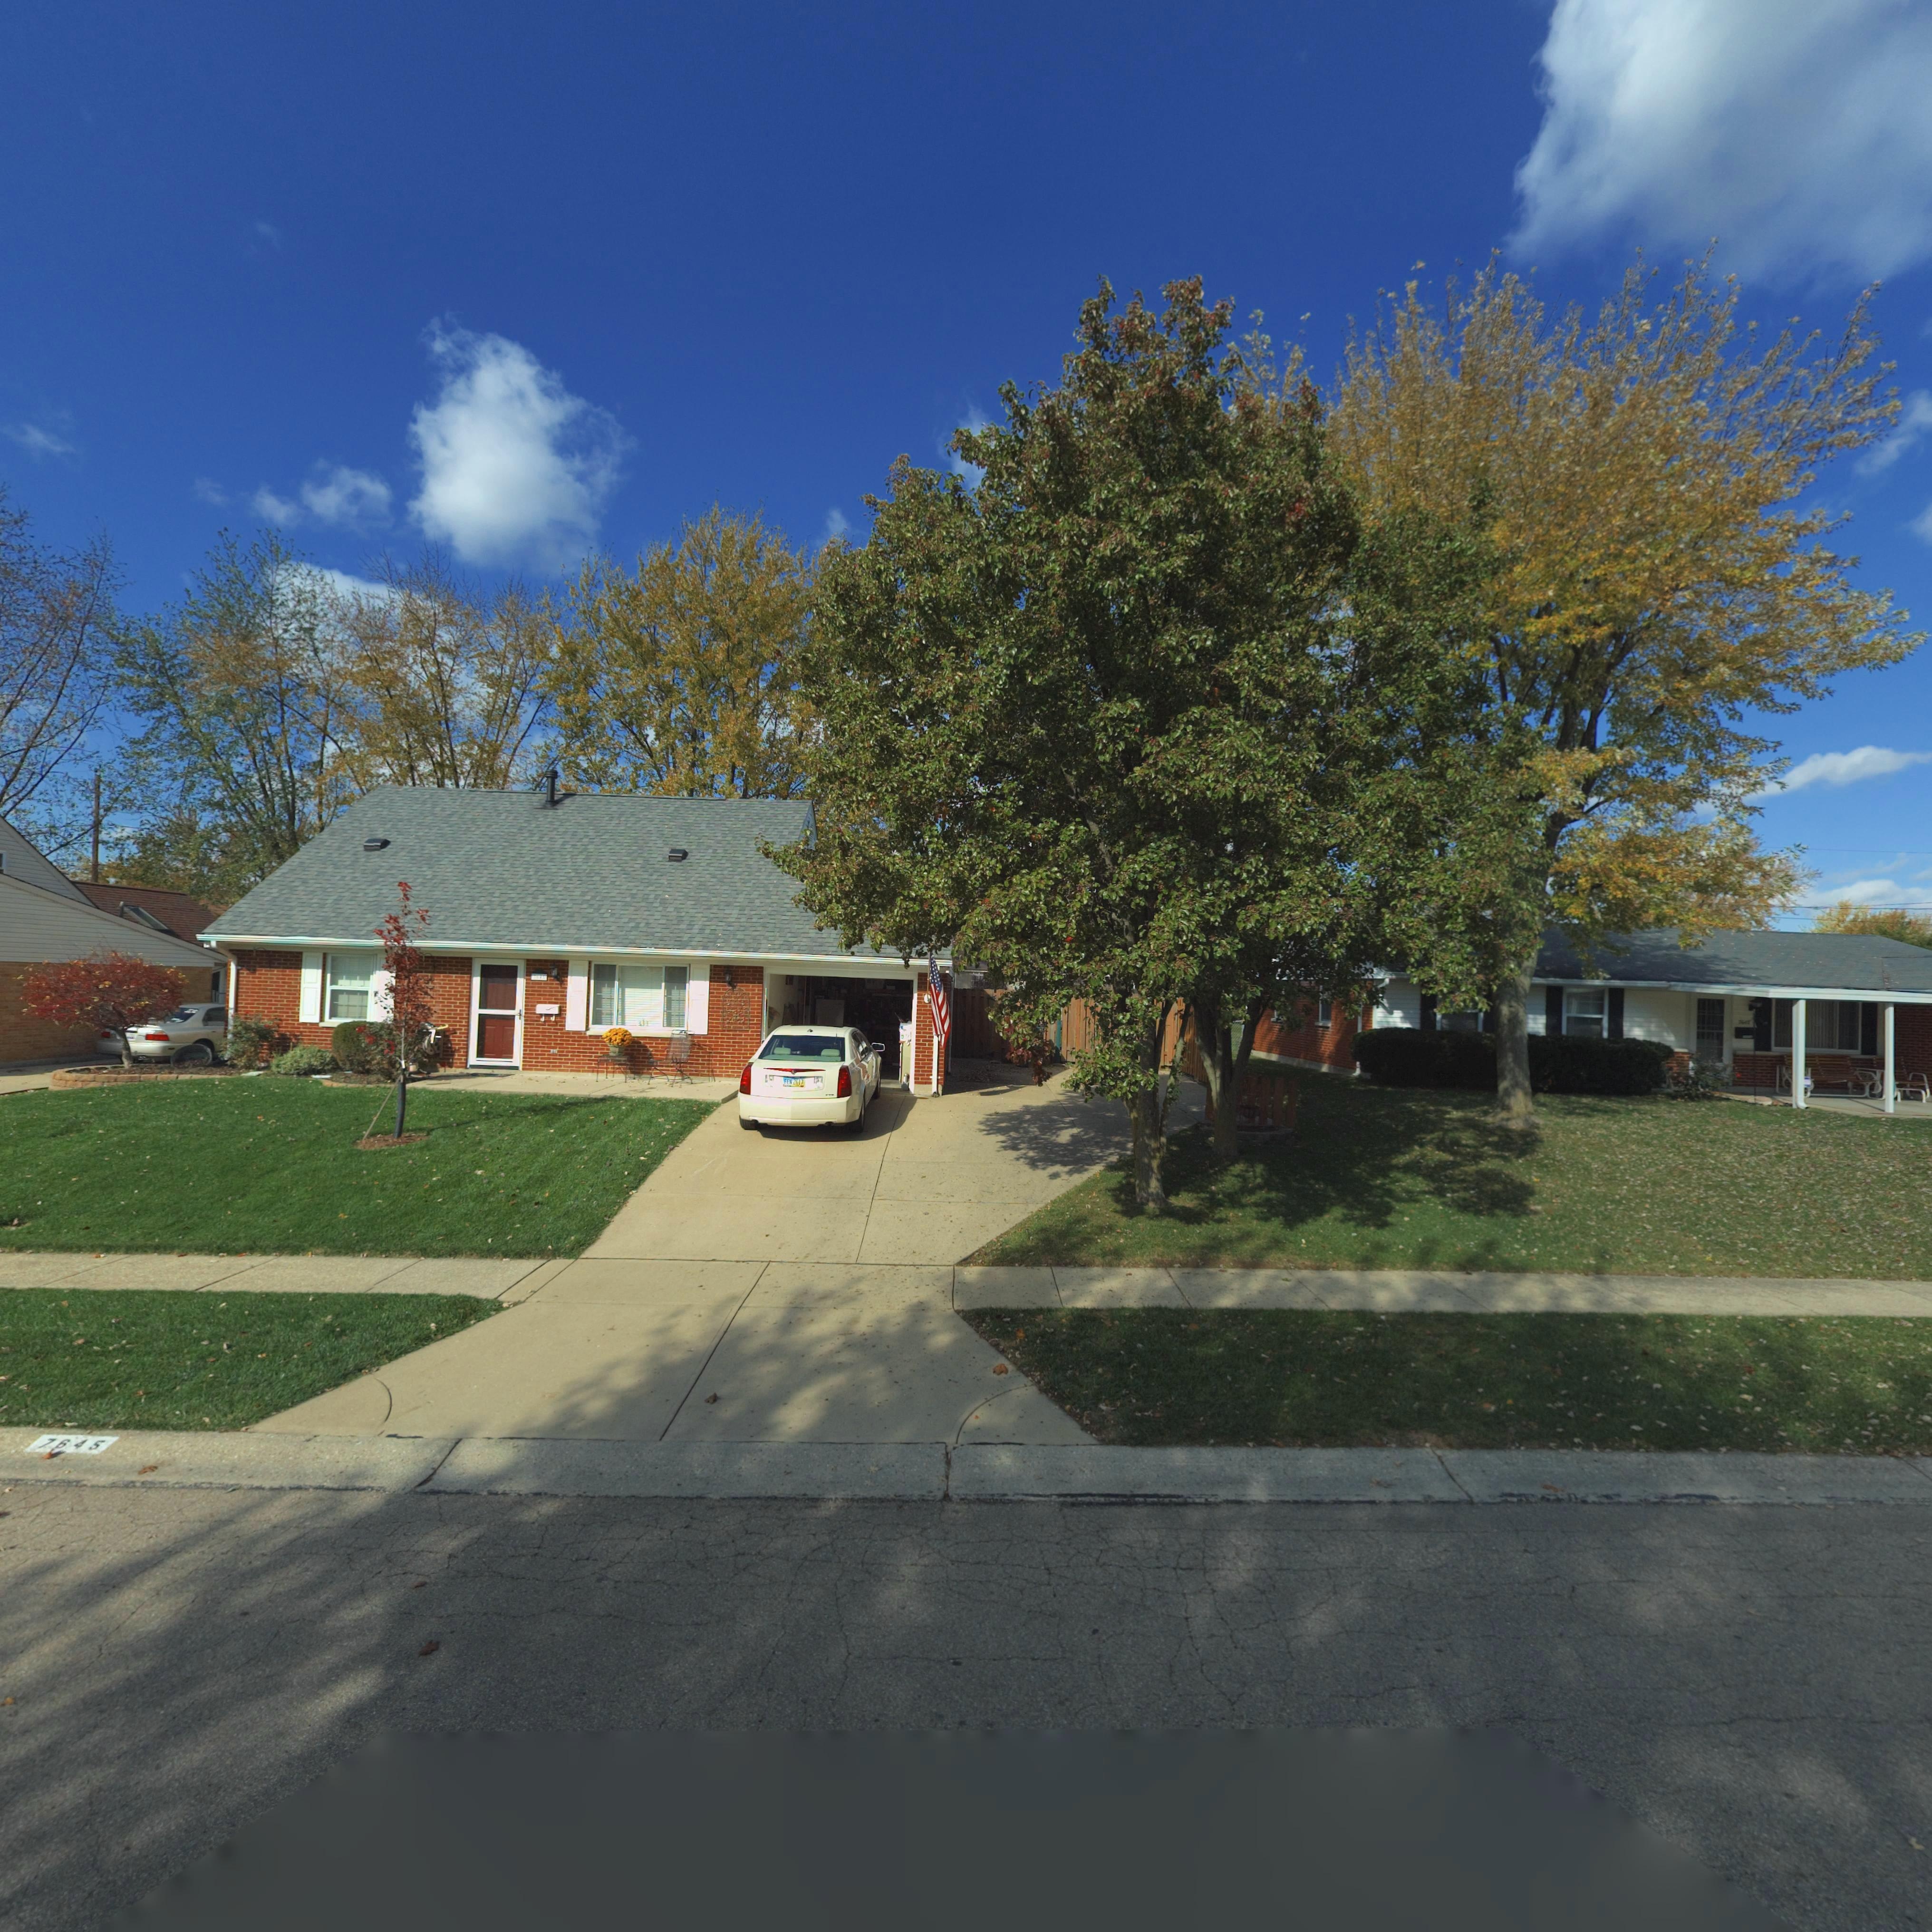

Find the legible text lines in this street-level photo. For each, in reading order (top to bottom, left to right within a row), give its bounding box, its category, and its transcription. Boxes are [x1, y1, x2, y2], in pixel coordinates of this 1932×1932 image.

[532, 974, 547, 980] StreetNumber: 7**5
[1738, 1019, 1752, 1025] StreetNumber: 7647
[35, 1437, 107, 1452] StreetNumber: 7645